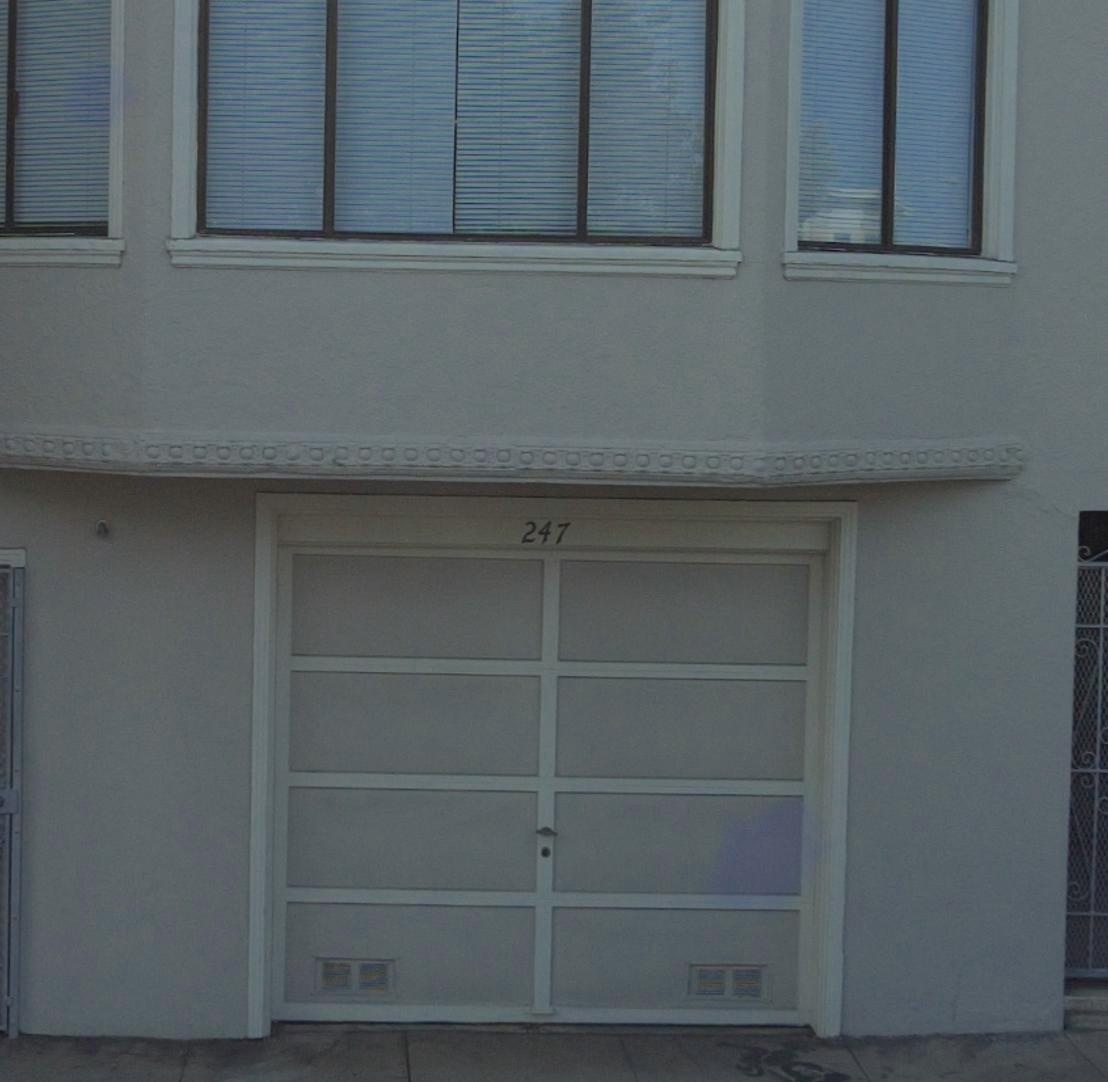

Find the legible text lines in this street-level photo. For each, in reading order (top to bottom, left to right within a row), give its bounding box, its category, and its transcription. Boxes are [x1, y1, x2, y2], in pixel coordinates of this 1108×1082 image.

[519, 519, 573, 546] StreetNumber: 247